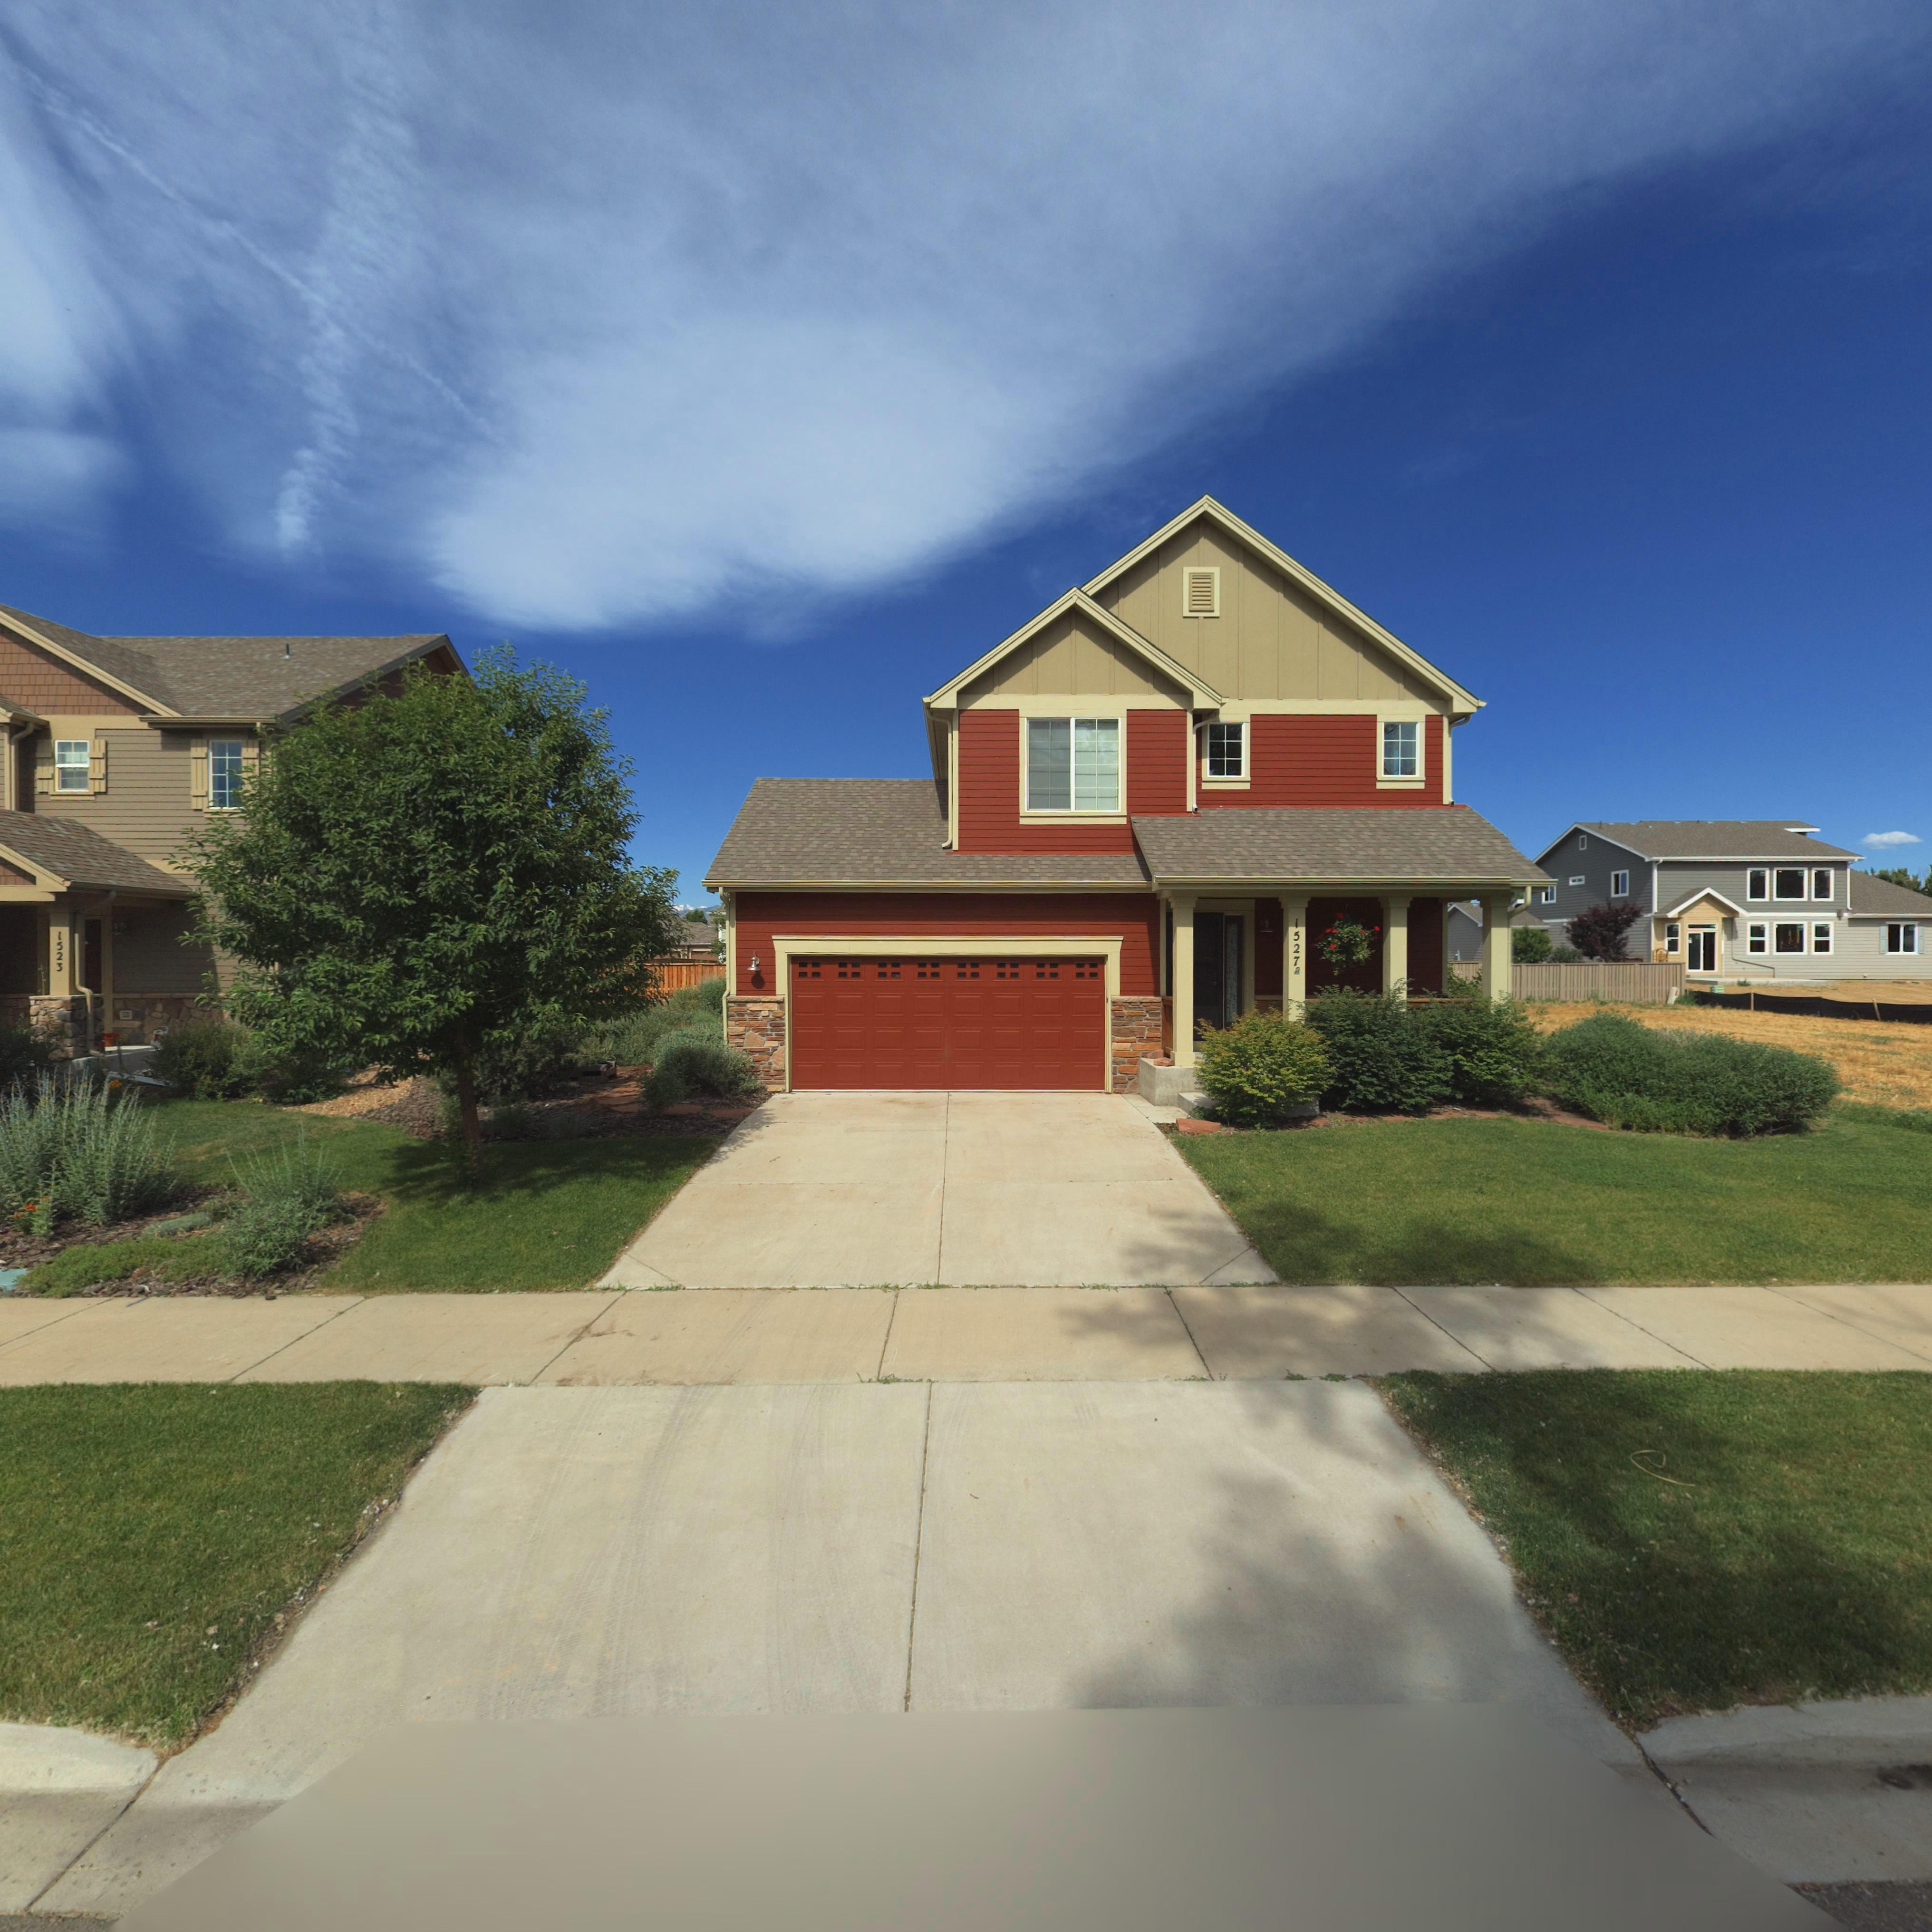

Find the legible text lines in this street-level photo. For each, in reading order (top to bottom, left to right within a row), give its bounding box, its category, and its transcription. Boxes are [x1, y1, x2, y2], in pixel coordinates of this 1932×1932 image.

[56, 931, 62, 972] StreetNumber: 1523
[1293, 918, 1300, 966] StreetNumber: 1527